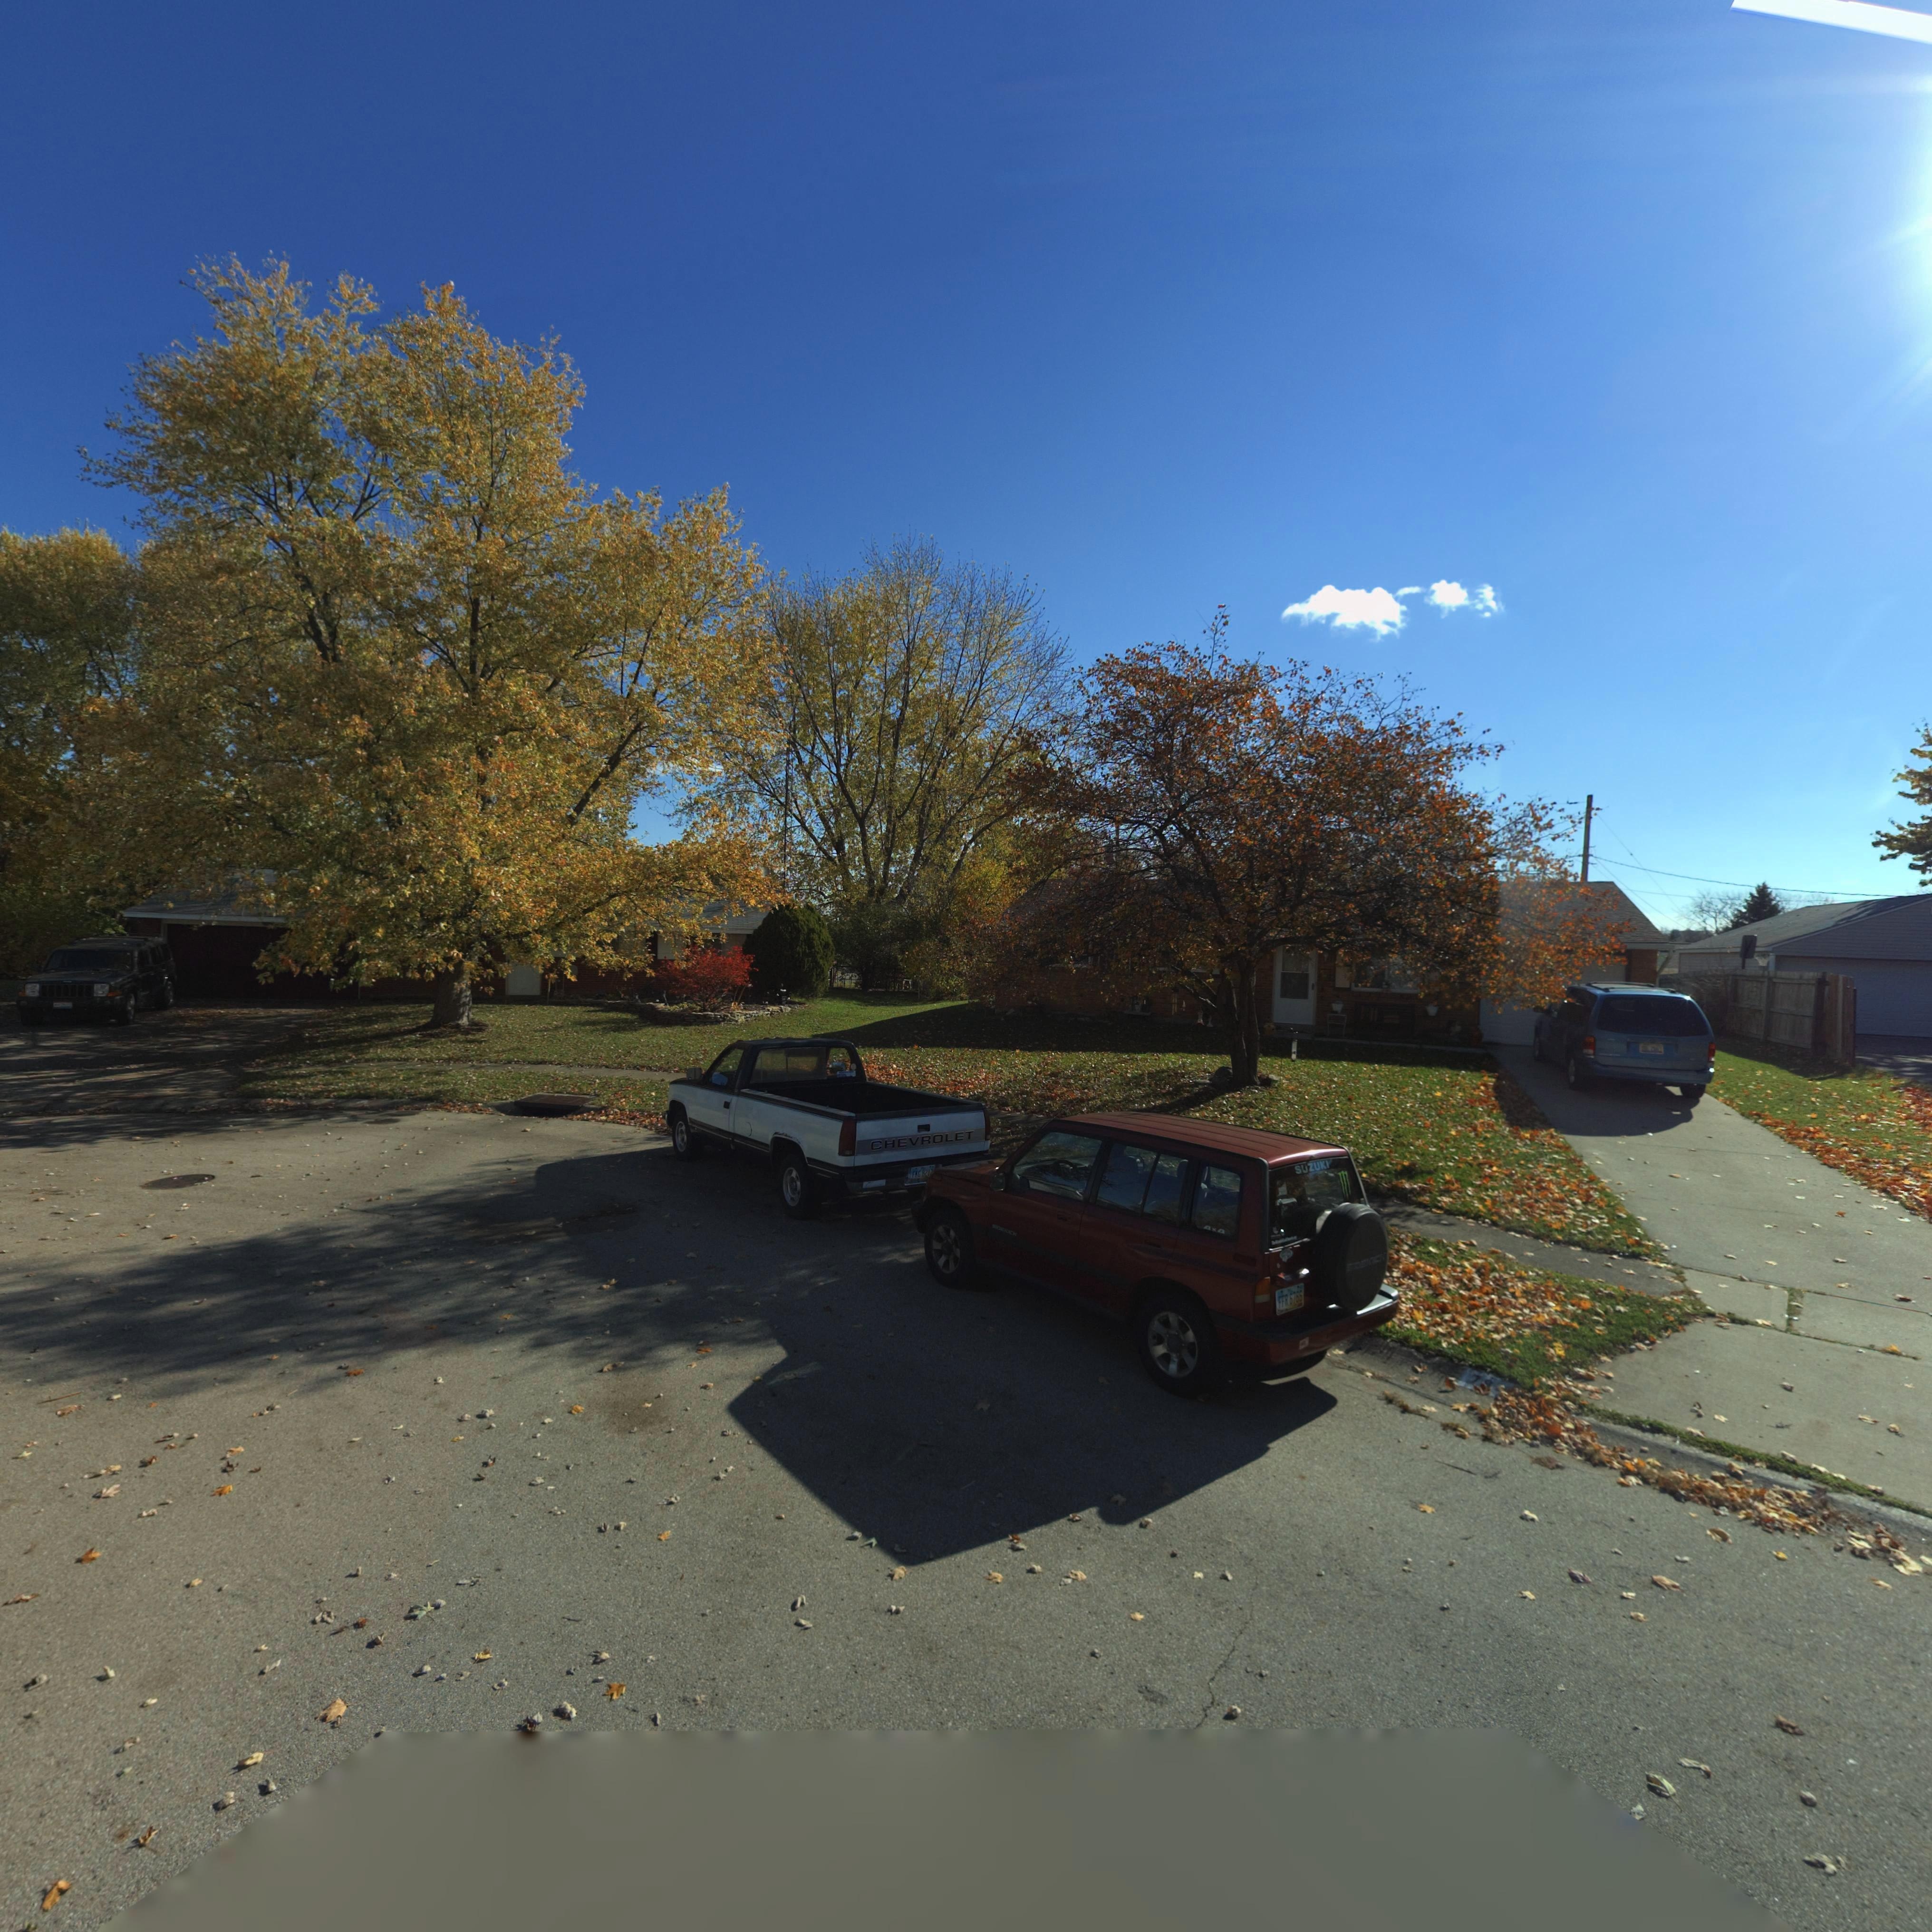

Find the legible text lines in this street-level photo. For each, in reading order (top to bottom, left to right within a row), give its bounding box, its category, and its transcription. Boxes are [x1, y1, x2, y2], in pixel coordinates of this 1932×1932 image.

[1468, 1372, 1484, 1386] StreetNumber: 7